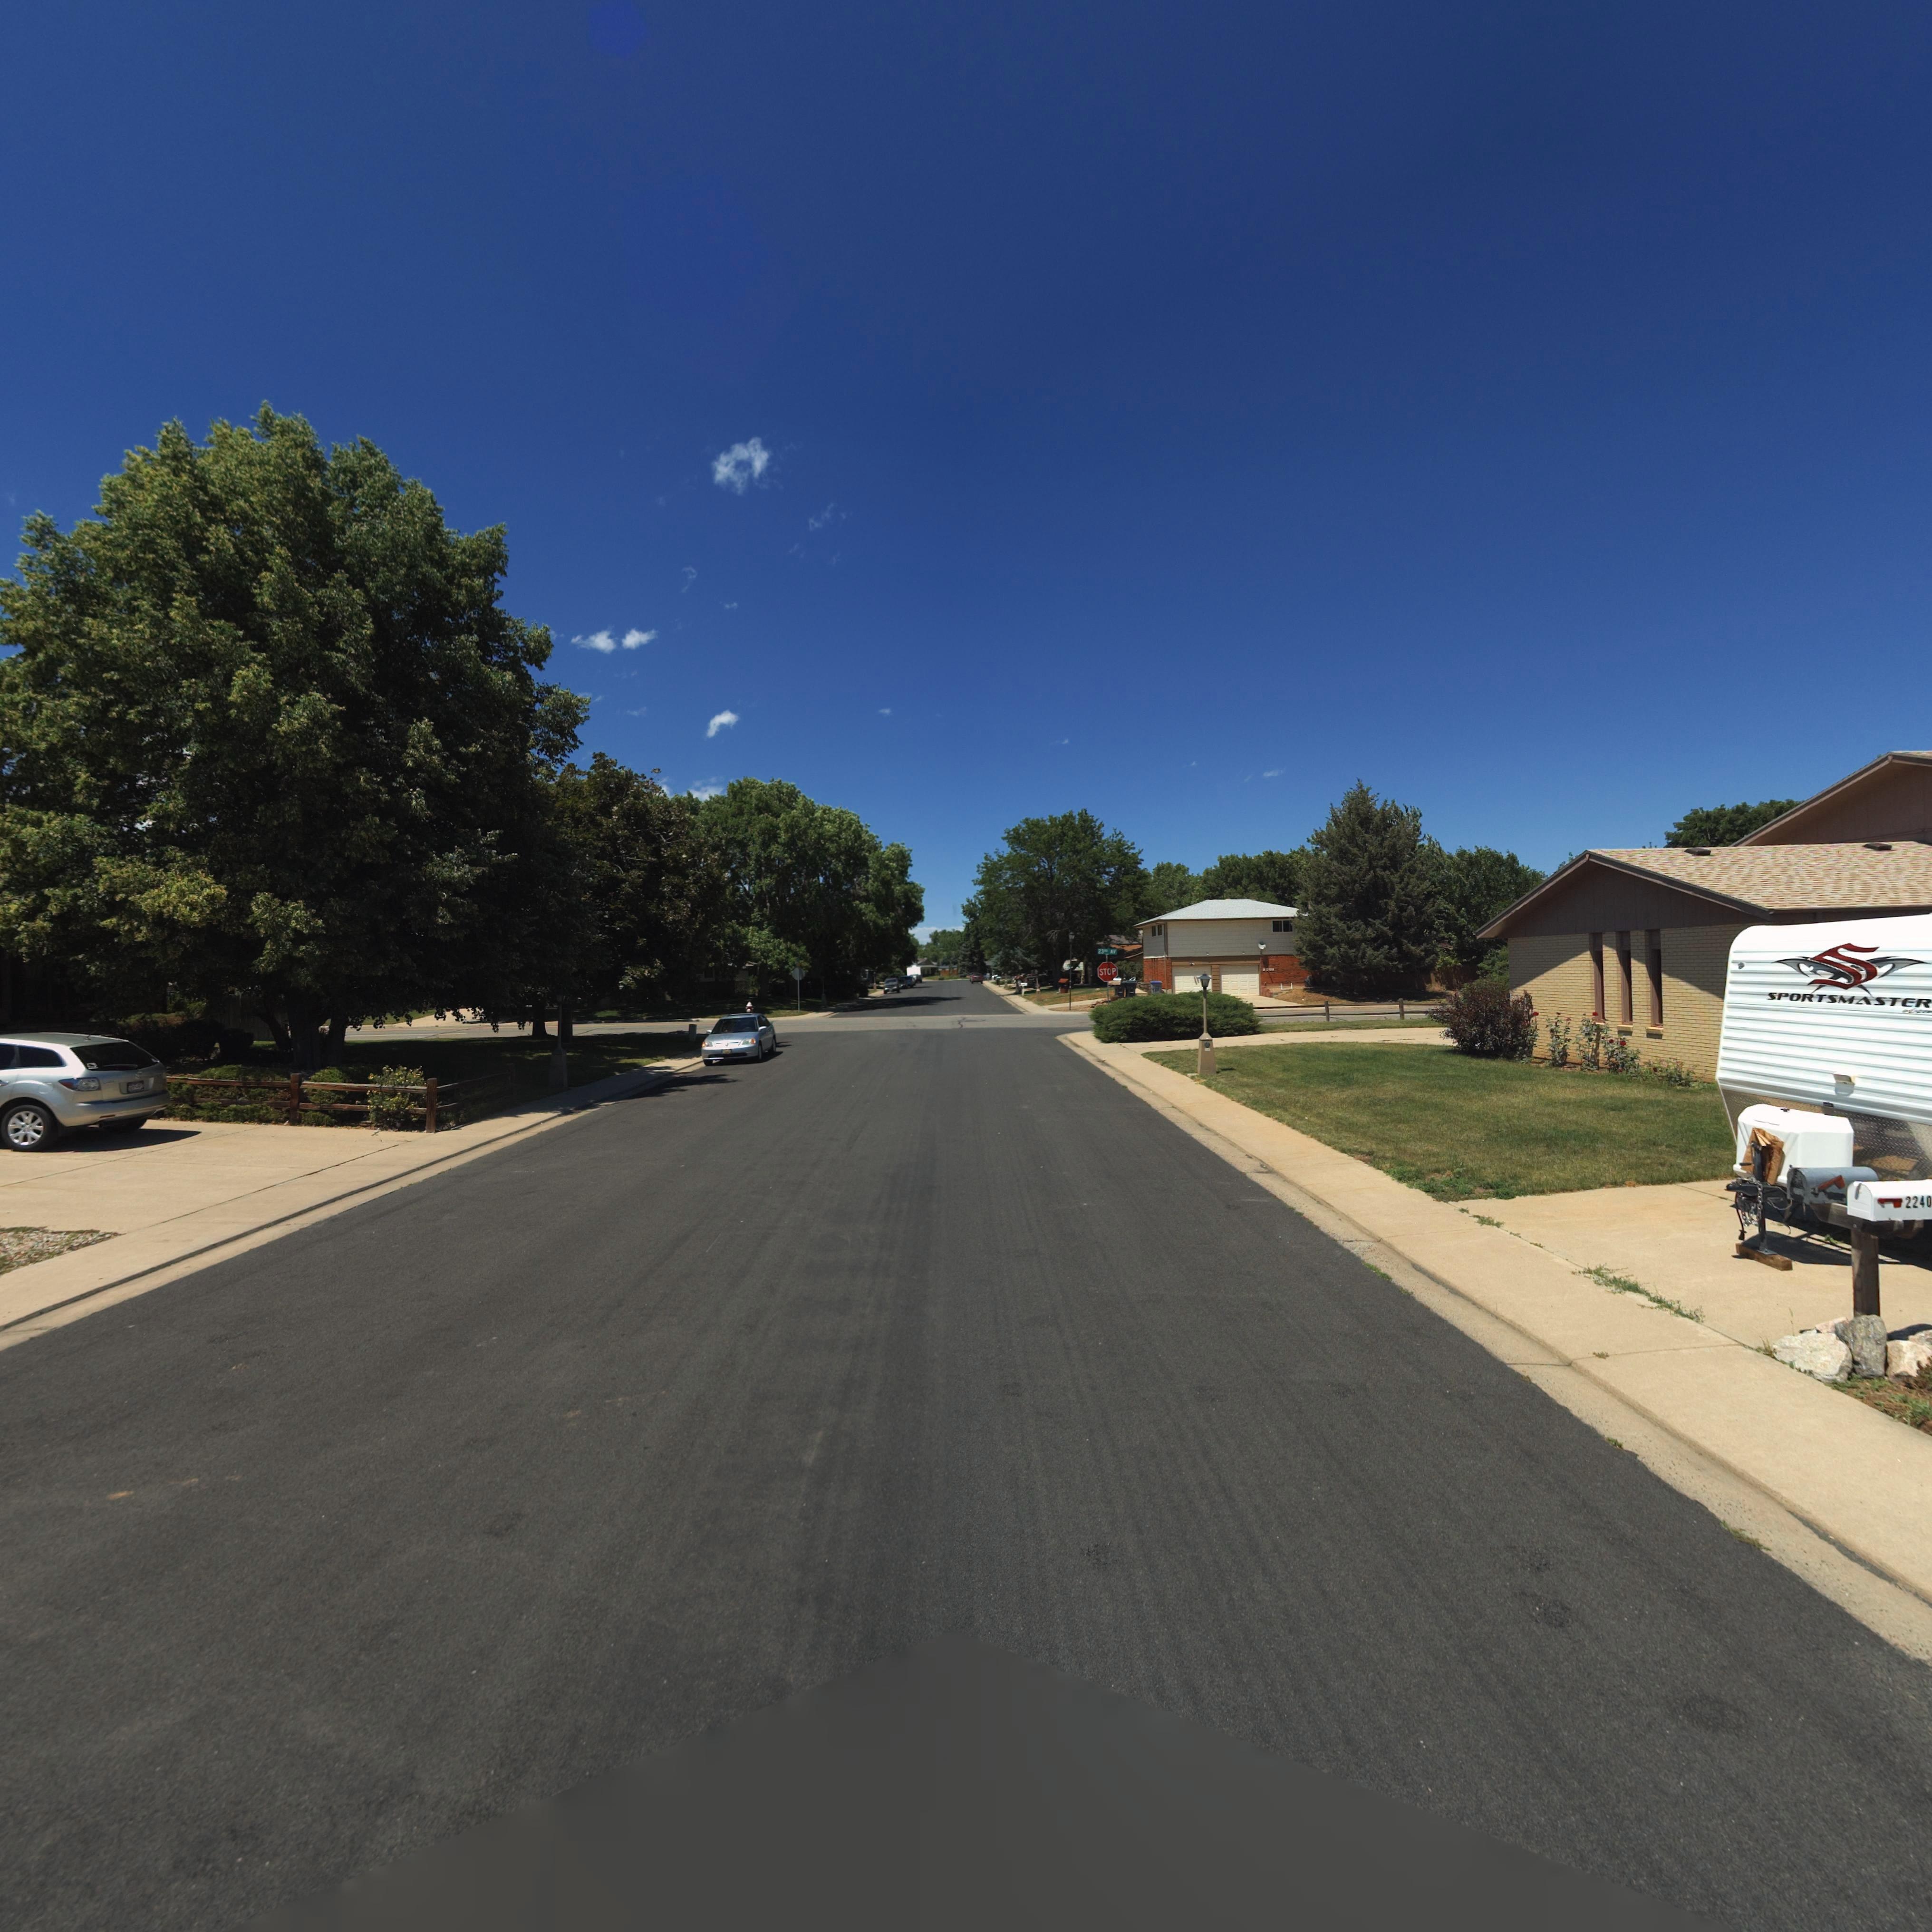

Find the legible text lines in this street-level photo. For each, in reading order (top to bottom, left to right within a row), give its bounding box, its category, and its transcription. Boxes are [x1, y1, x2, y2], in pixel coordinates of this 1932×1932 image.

[1894, 1186, 1930, 1213] StreetNumber: 224*